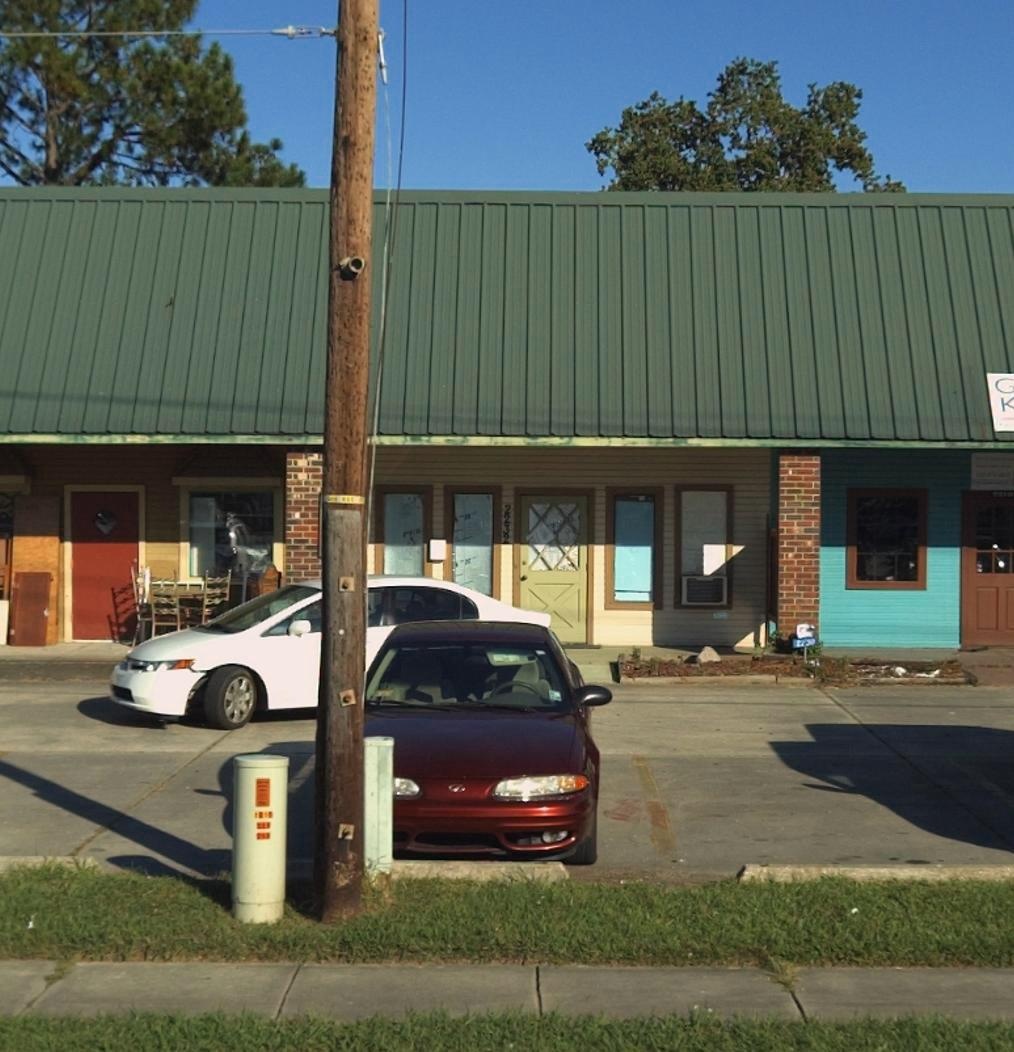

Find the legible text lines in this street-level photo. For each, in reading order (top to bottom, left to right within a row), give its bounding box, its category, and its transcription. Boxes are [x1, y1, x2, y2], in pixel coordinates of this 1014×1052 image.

[501, 504, 512, 545] StreetNumber: 2232